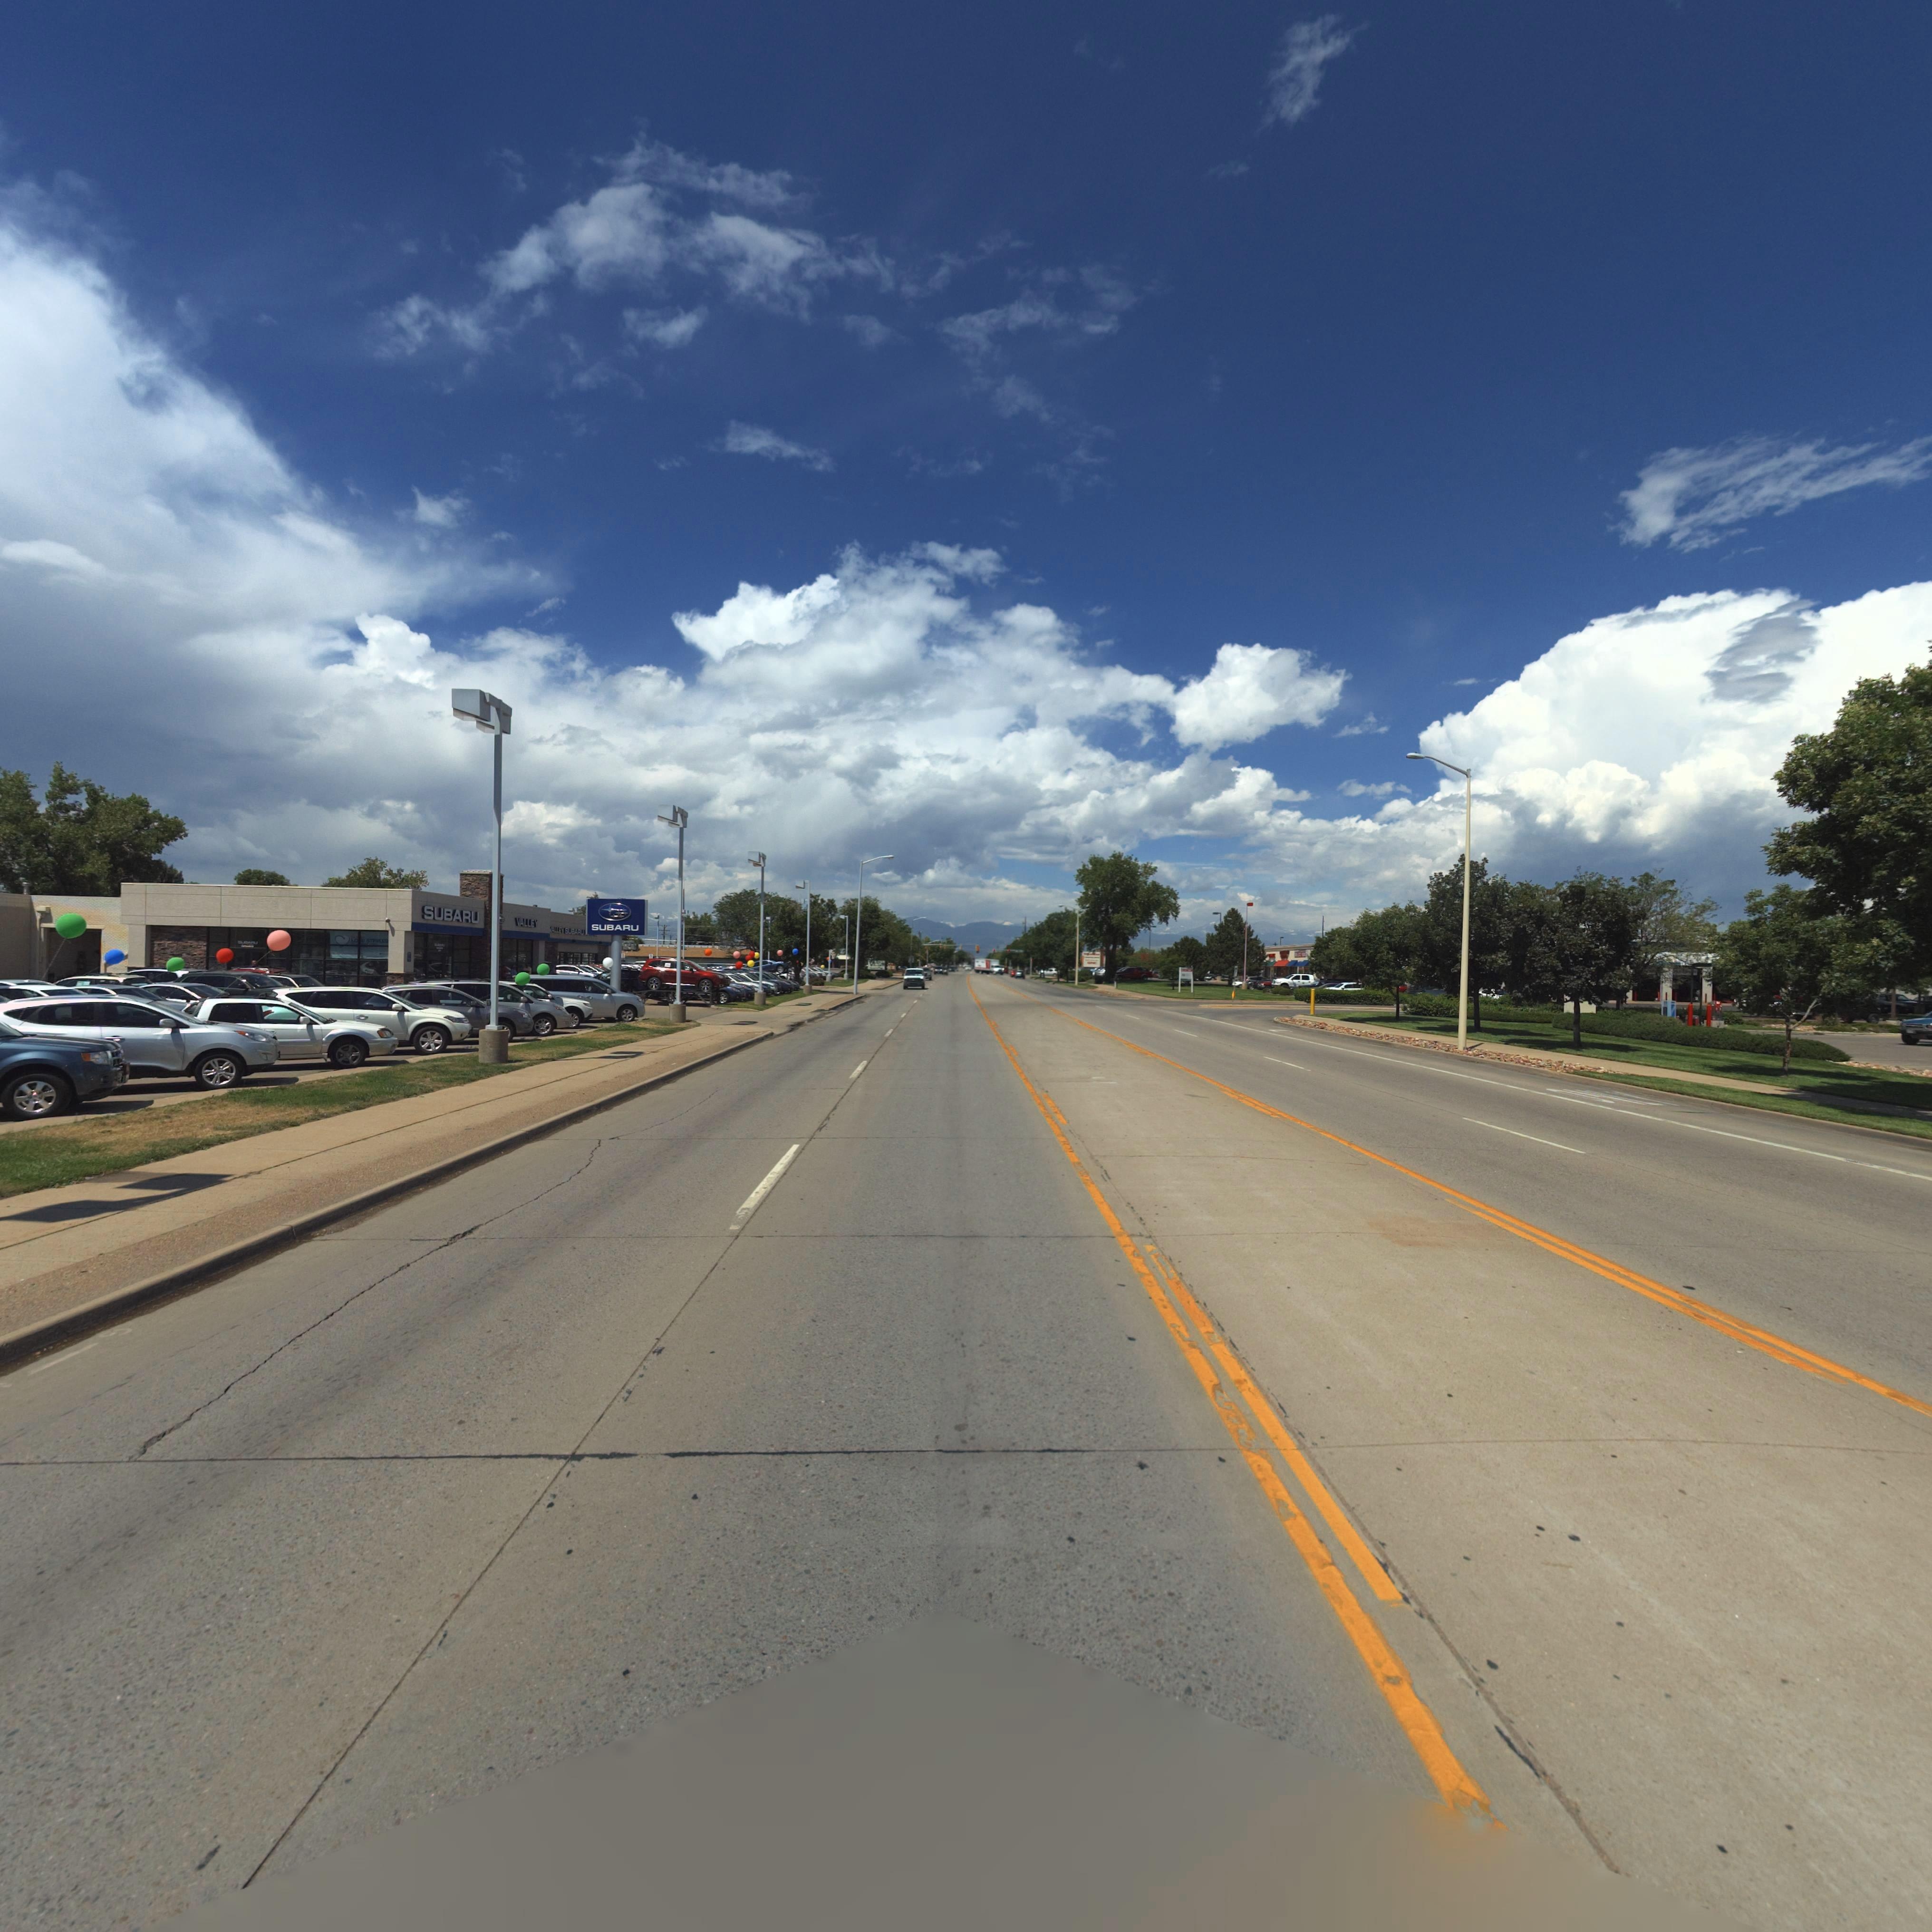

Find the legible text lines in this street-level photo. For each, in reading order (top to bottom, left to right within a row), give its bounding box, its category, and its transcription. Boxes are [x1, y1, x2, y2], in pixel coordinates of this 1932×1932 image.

[423, 905, 480, 924] BusinessName: SUBARU
[516, 917, 538, 928] BusinessName: VALLEY
[548, 926, 584, 936] BusinessName: VALLEY SUBARU
[591, 924, 639, 931] BusinessName: SUBARU
[237, 940, 258, 945] BusinessName: *U***U
[869, 960, 875, 966] BusinessName: V
[1087, 961, 1097, 965] BusinessName: GNC